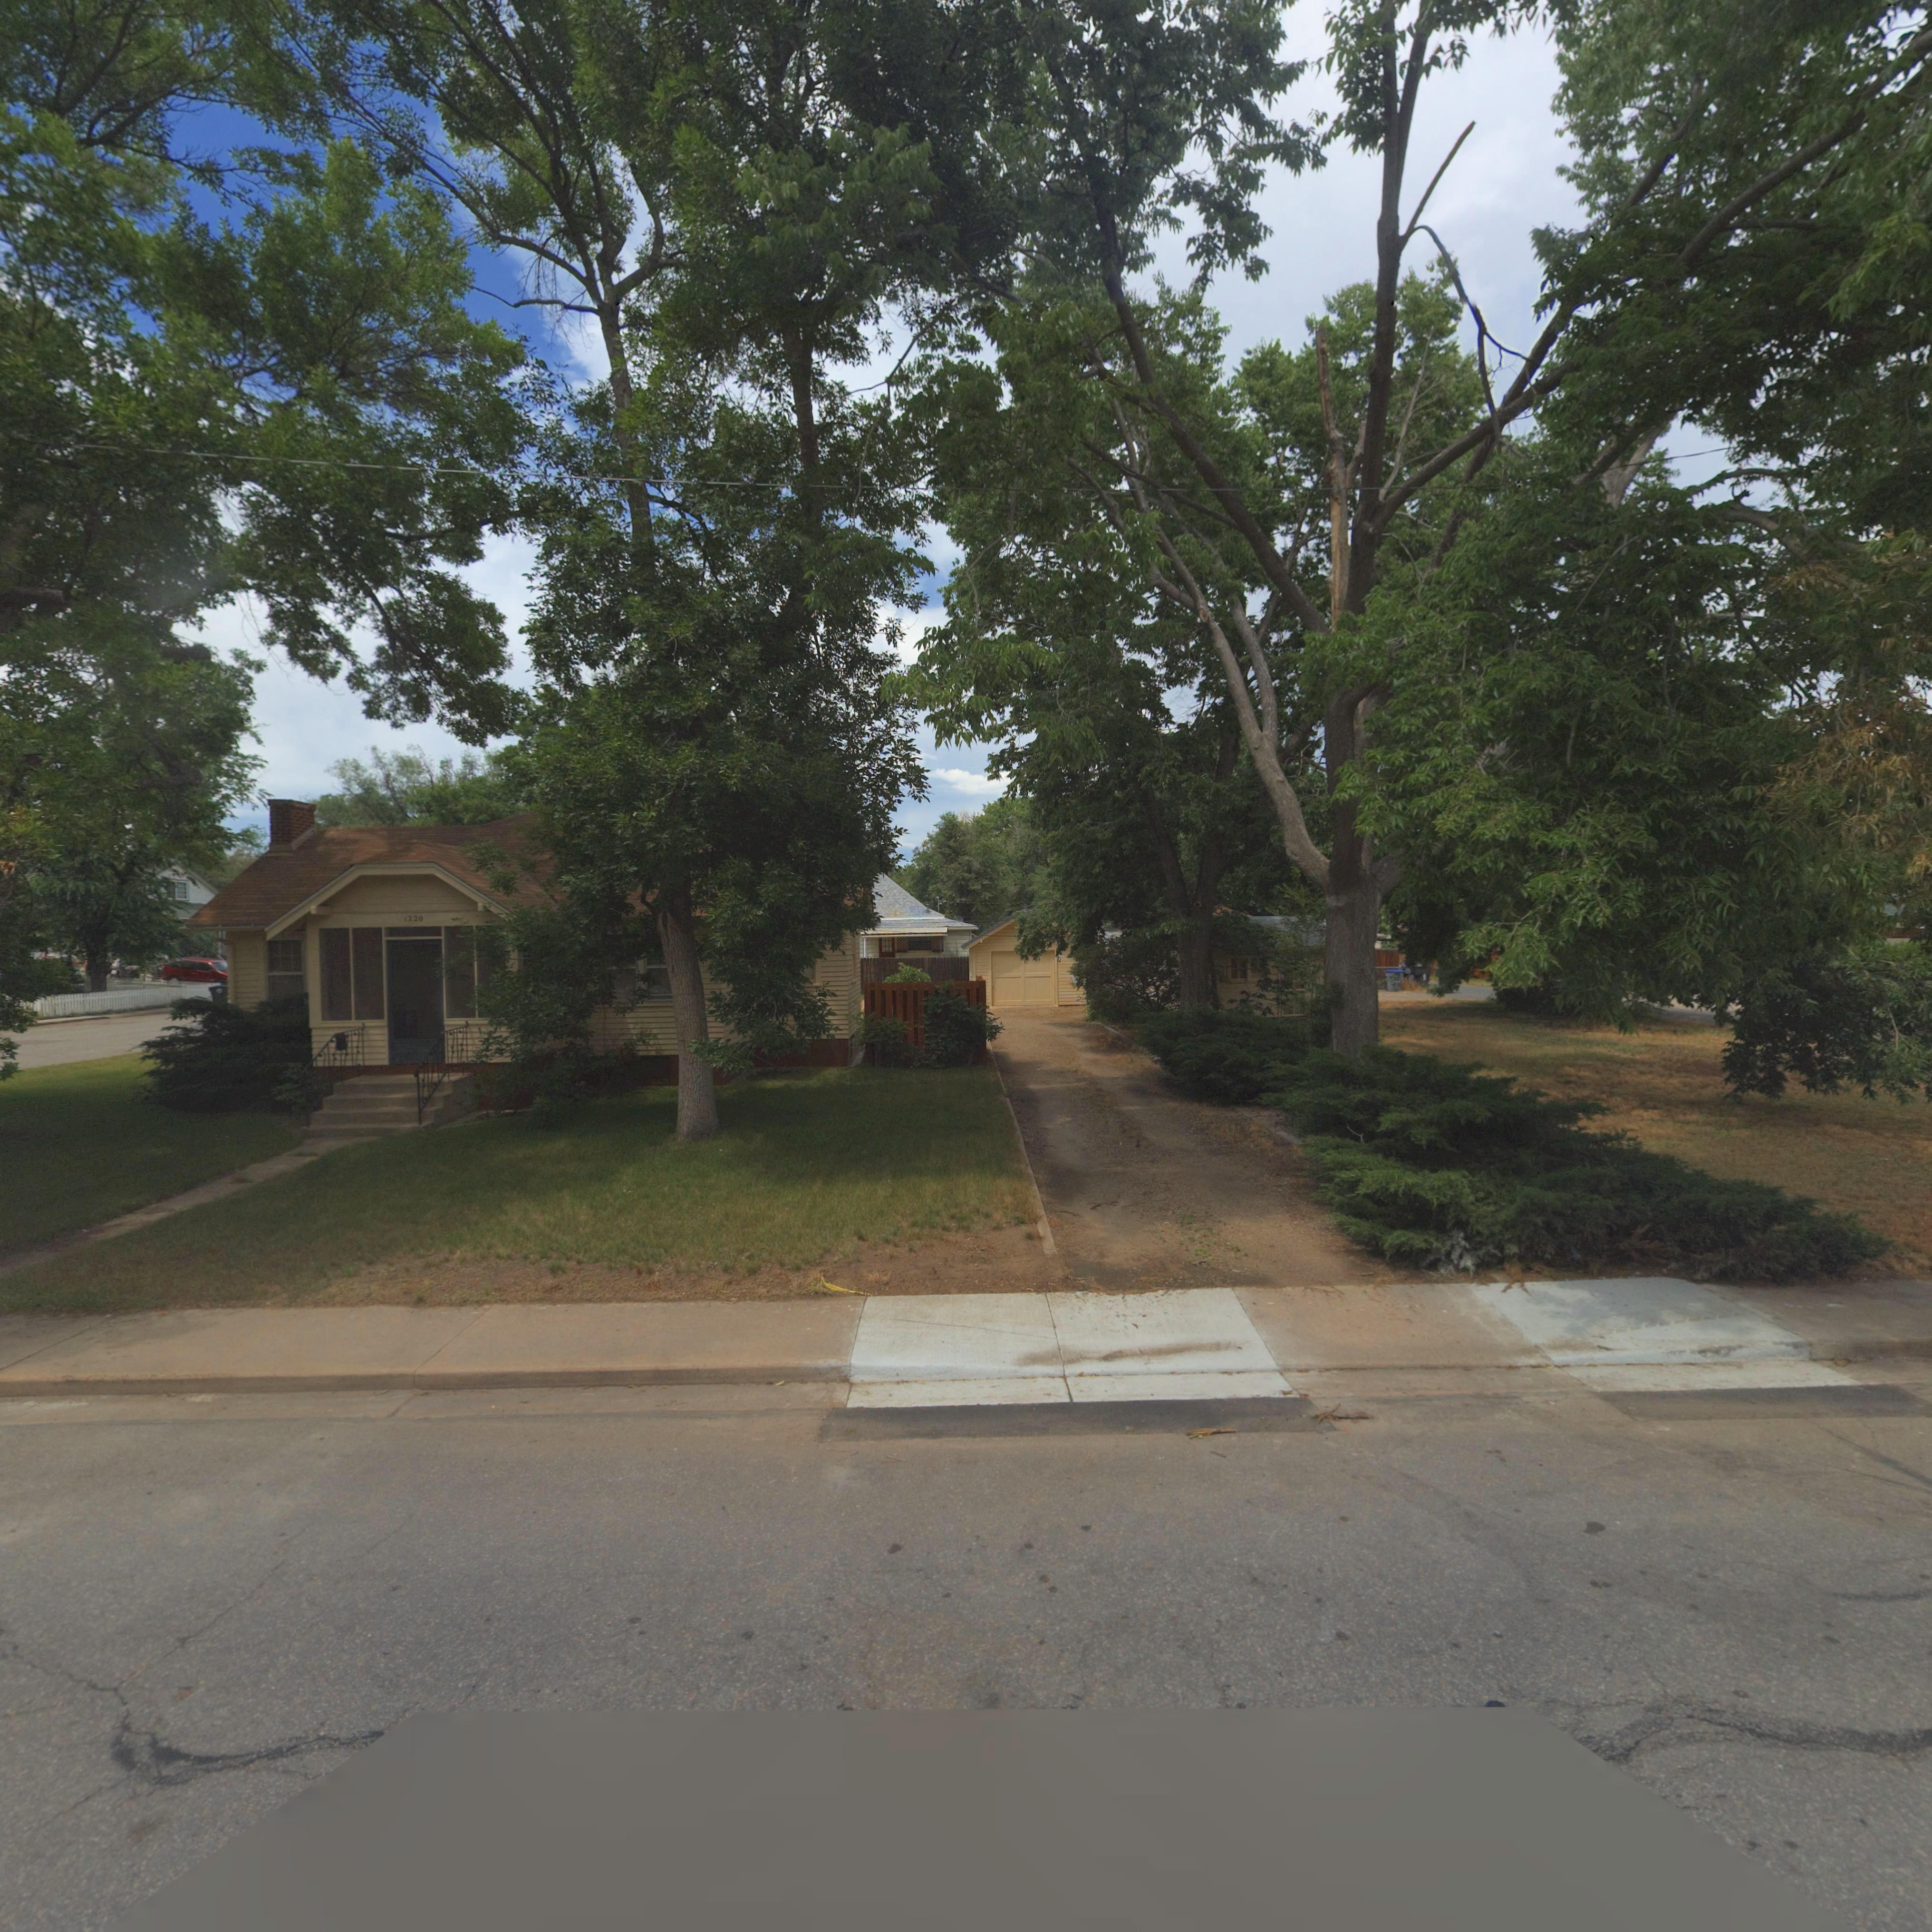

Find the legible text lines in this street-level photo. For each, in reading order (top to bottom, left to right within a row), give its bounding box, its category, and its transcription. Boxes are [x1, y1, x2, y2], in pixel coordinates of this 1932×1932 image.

[404, 914, 424, 922] StreetNumber: 1220